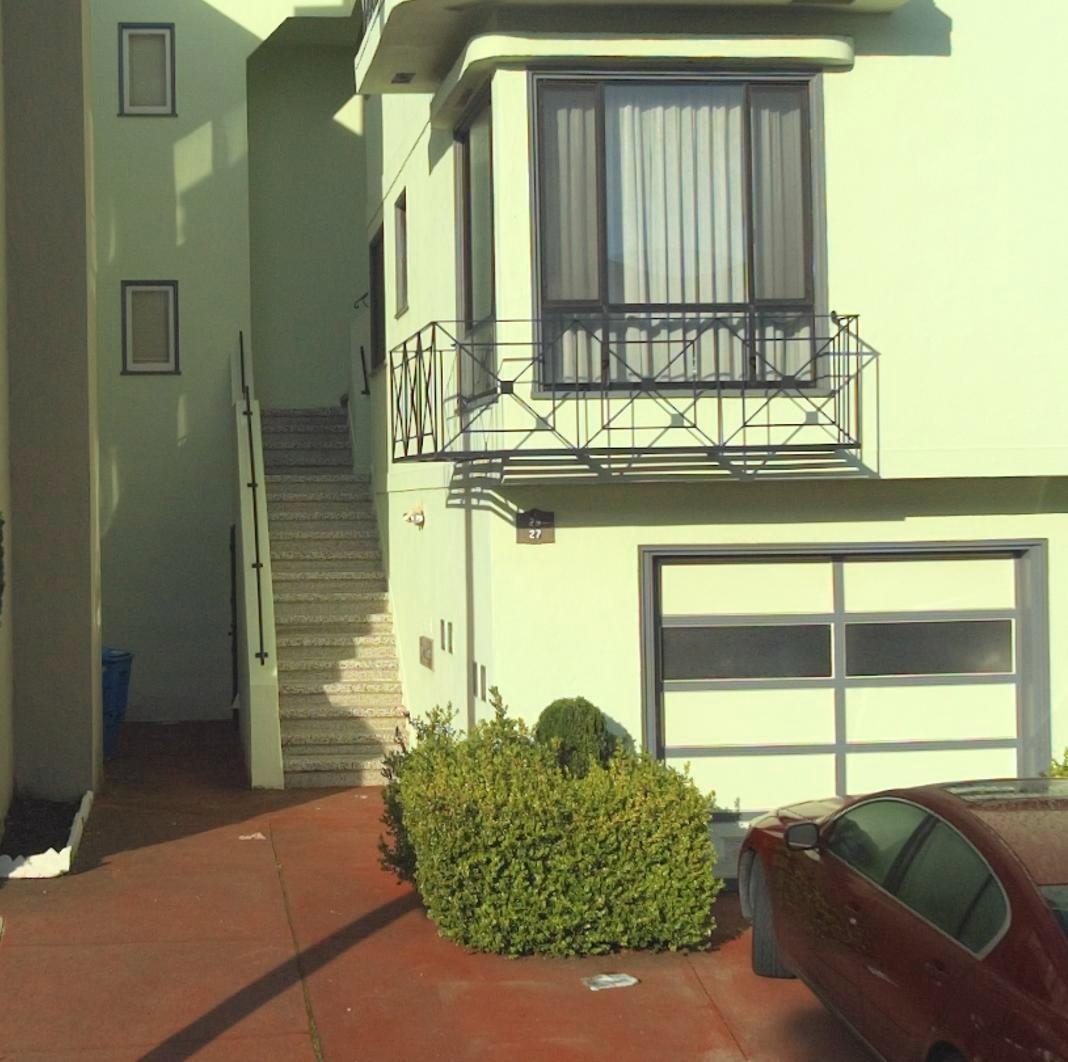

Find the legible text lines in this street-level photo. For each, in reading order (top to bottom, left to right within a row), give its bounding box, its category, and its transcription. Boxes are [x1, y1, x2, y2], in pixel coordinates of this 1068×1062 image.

[526, 516, 543, 528] StreetNumber: 2*
[526, 527, 543, 541] StreetNumber: 27